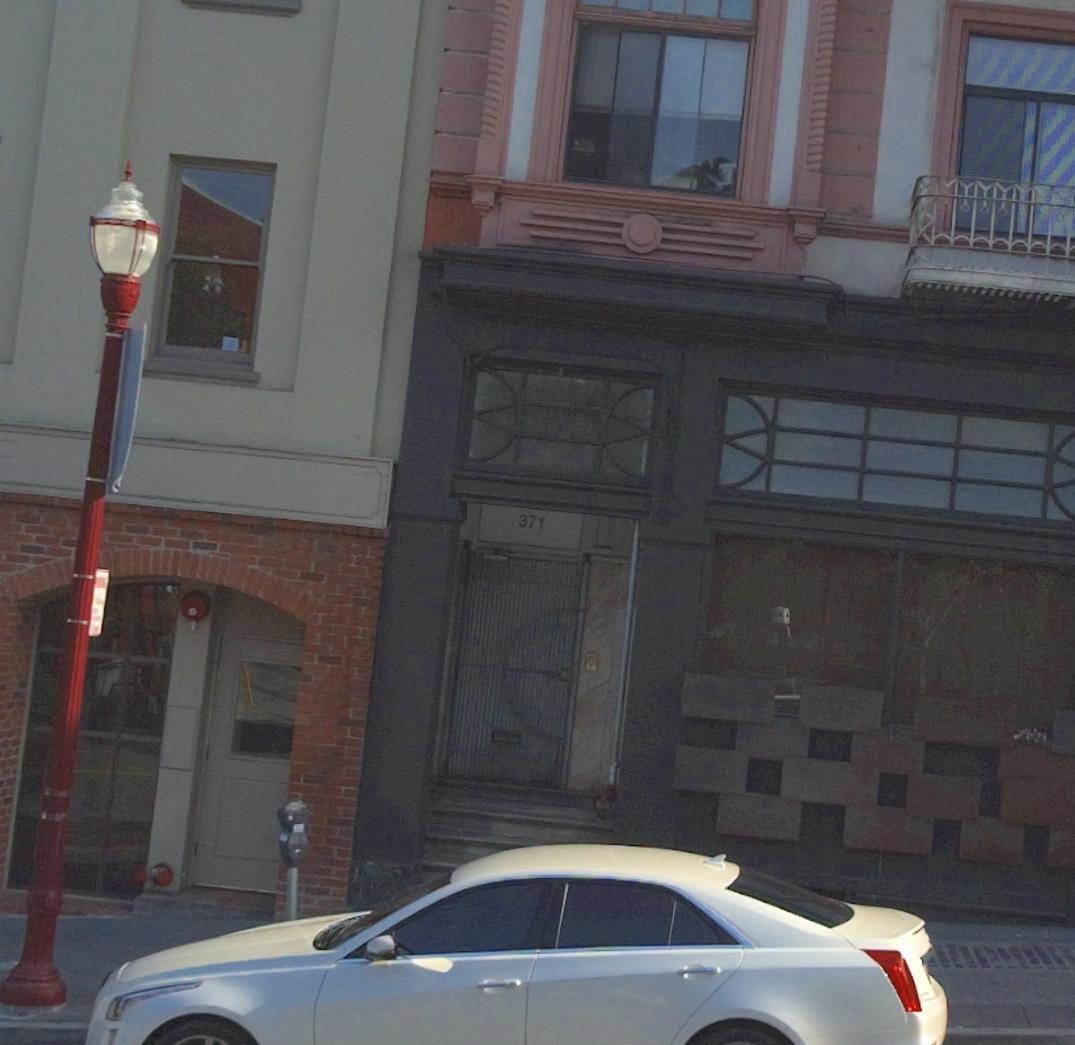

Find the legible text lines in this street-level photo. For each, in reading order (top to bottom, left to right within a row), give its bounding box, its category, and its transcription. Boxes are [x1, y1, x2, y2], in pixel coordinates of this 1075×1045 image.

[517, 512, 547, 533] StreetNumber: 371